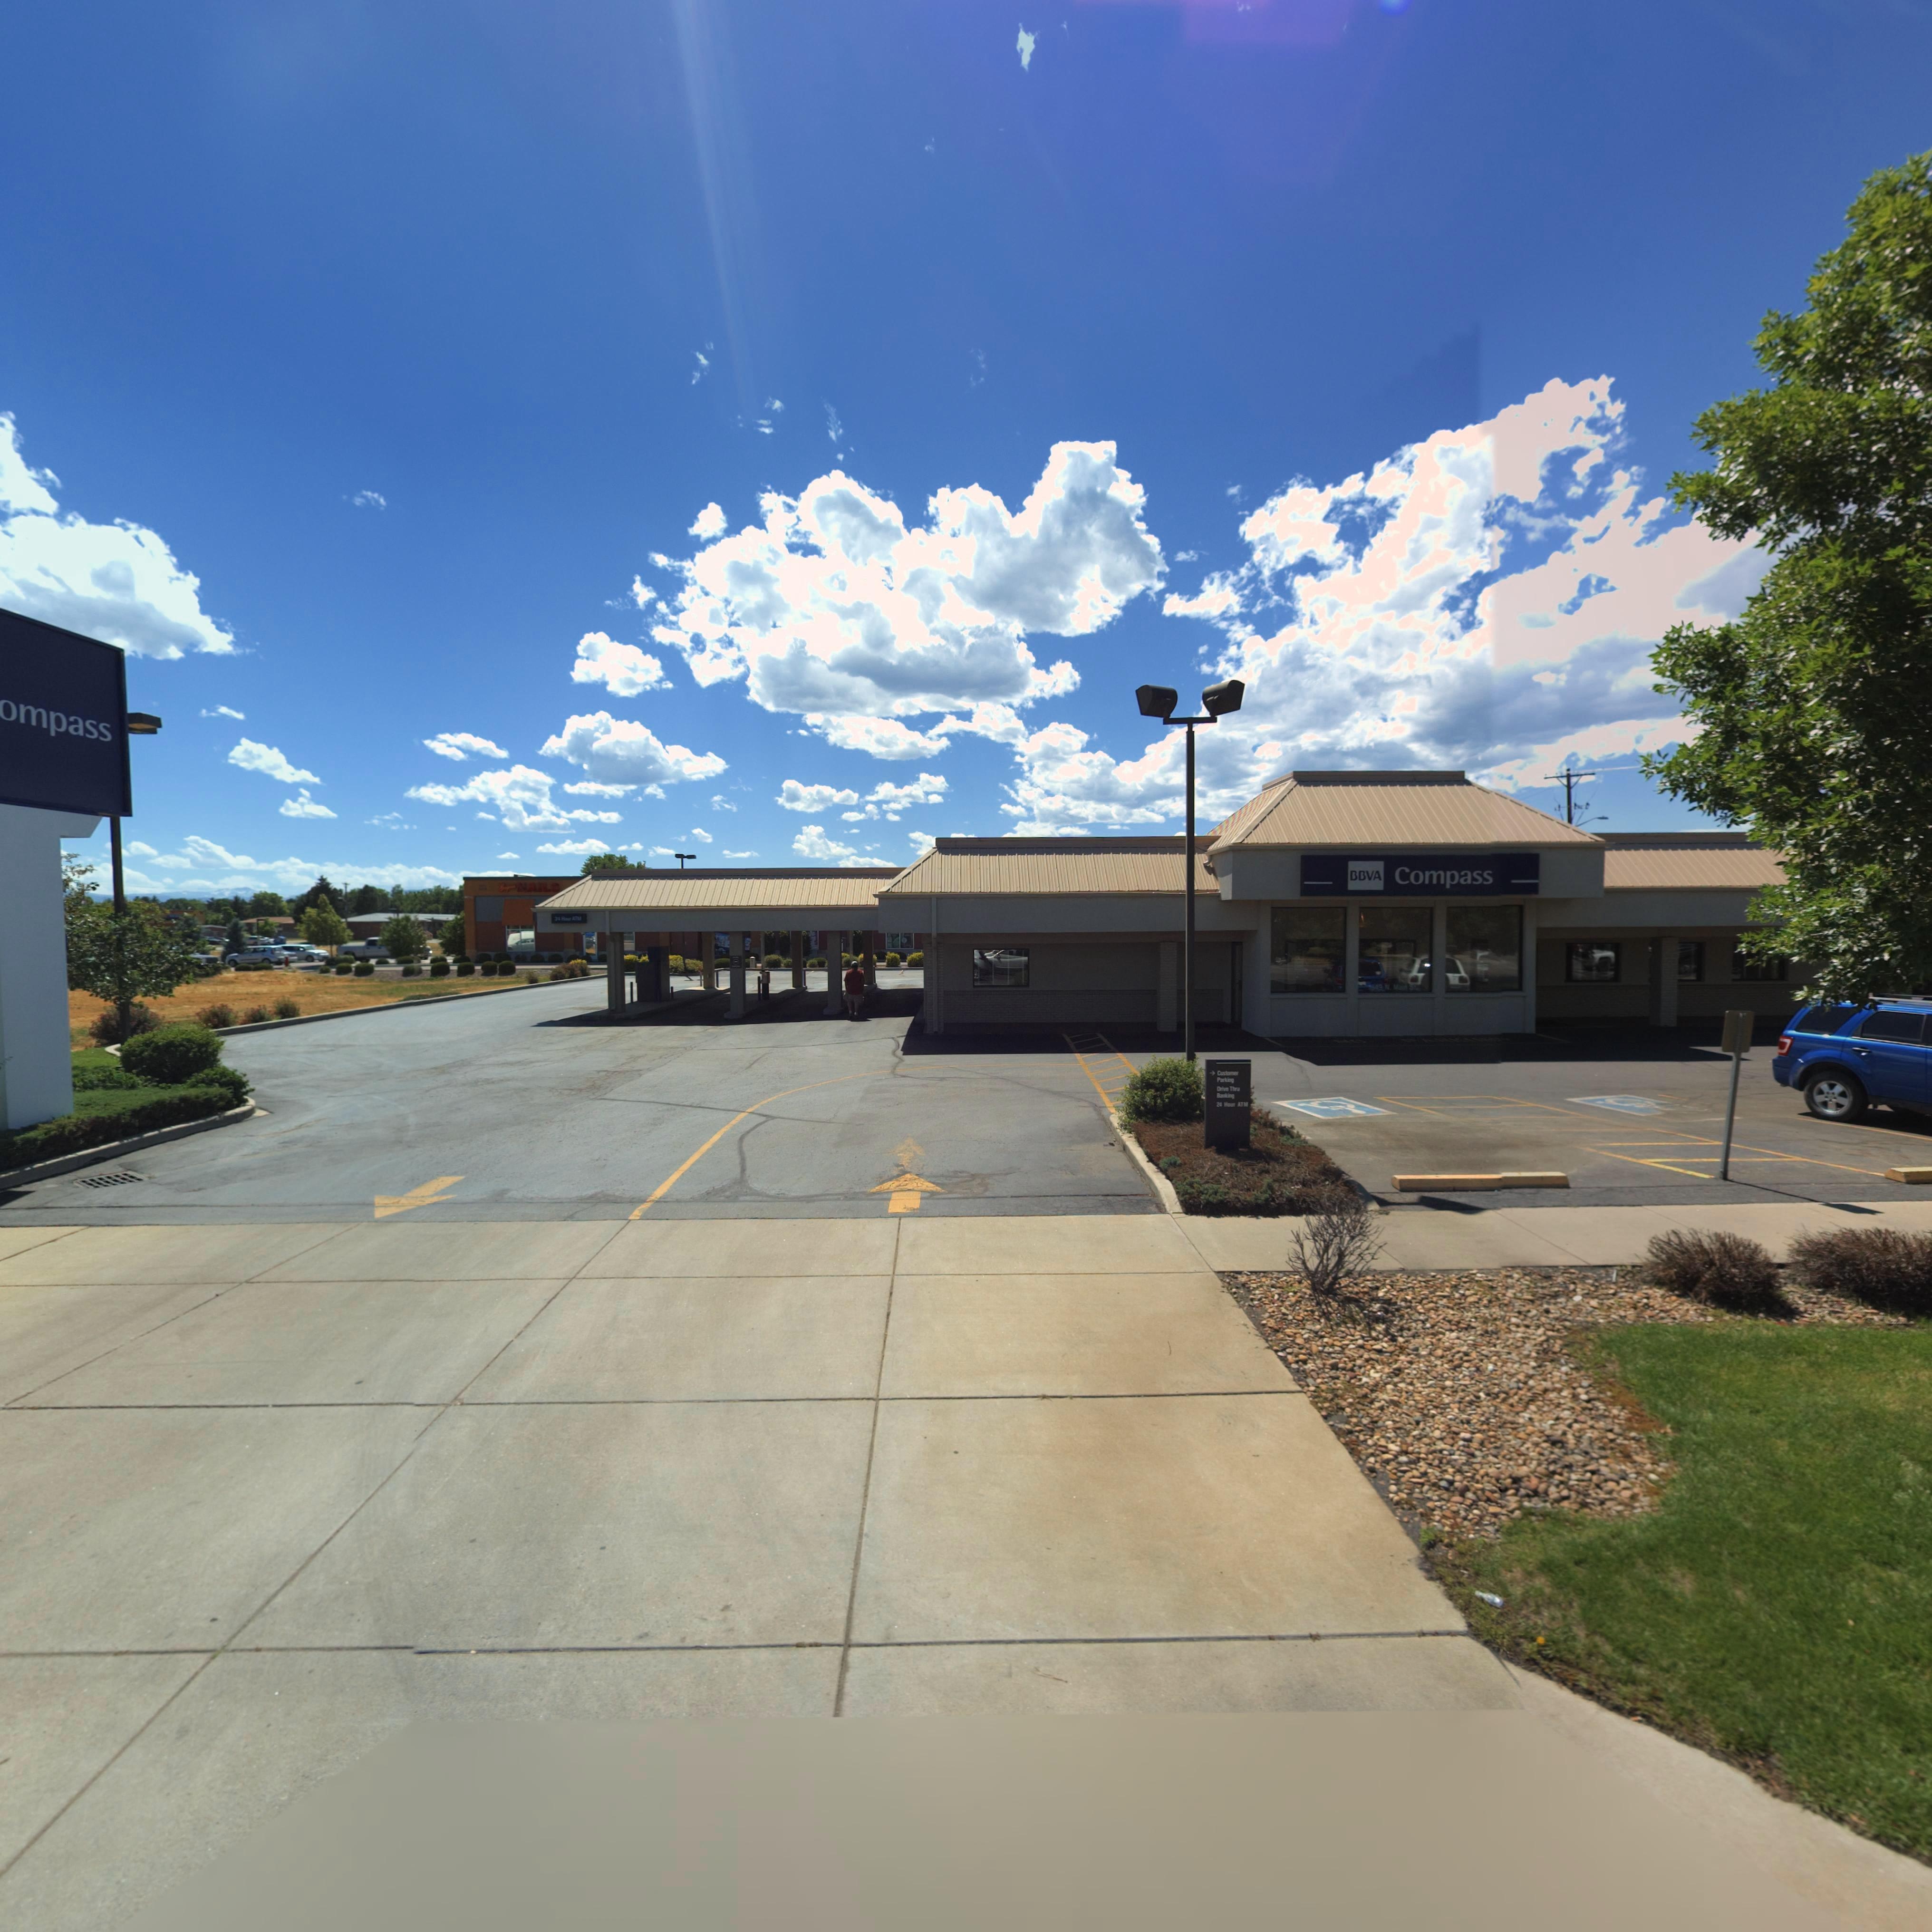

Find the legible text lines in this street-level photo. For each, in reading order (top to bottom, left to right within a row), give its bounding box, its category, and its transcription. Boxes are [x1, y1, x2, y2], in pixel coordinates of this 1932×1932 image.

[18, 702, 113, 743] BusinessName: mpass
[498, 882, 515, 892] BusinessName: B*****
[516, 881, 560, 893] BusinessName: NAIL*
[1393, 866, 1493, 889] BusinessName: Compass